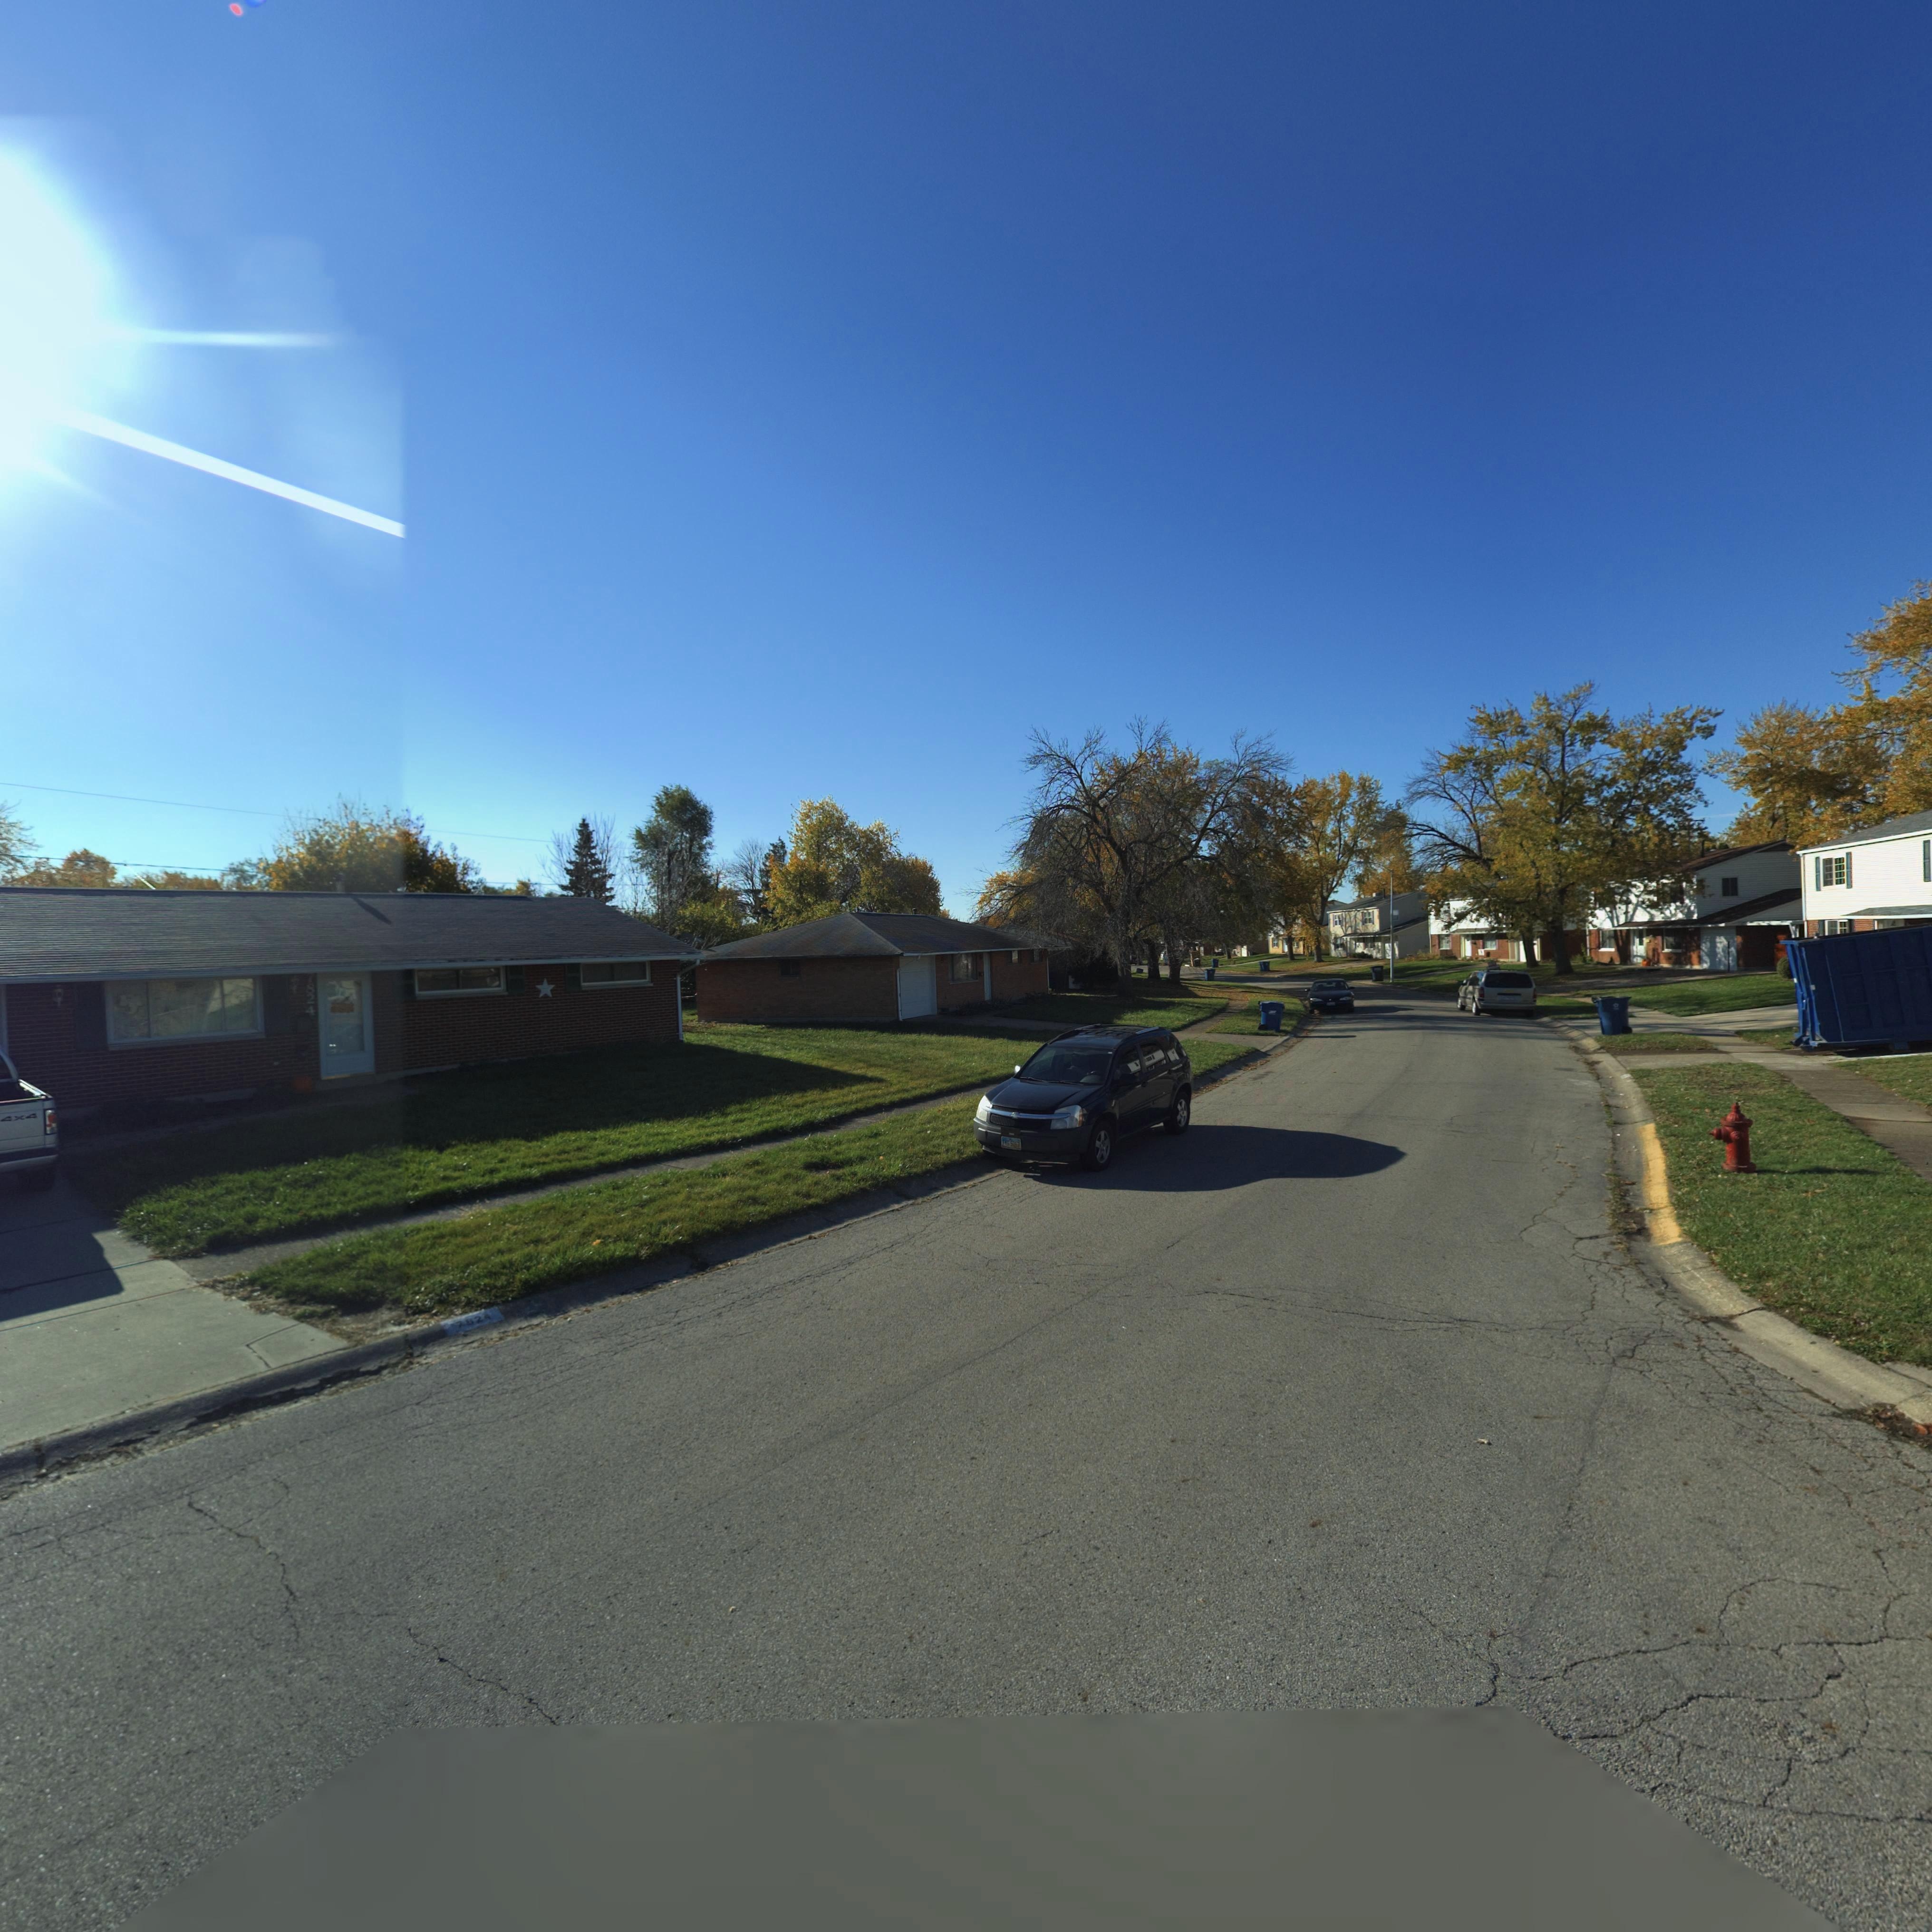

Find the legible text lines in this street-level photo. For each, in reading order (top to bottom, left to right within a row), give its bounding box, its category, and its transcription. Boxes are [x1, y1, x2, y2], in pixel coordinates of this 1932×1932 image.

[304, 973, 318, 1017] StreetNumber: *824
[453, 1311, 493, 1330] StreetNumber: 7824